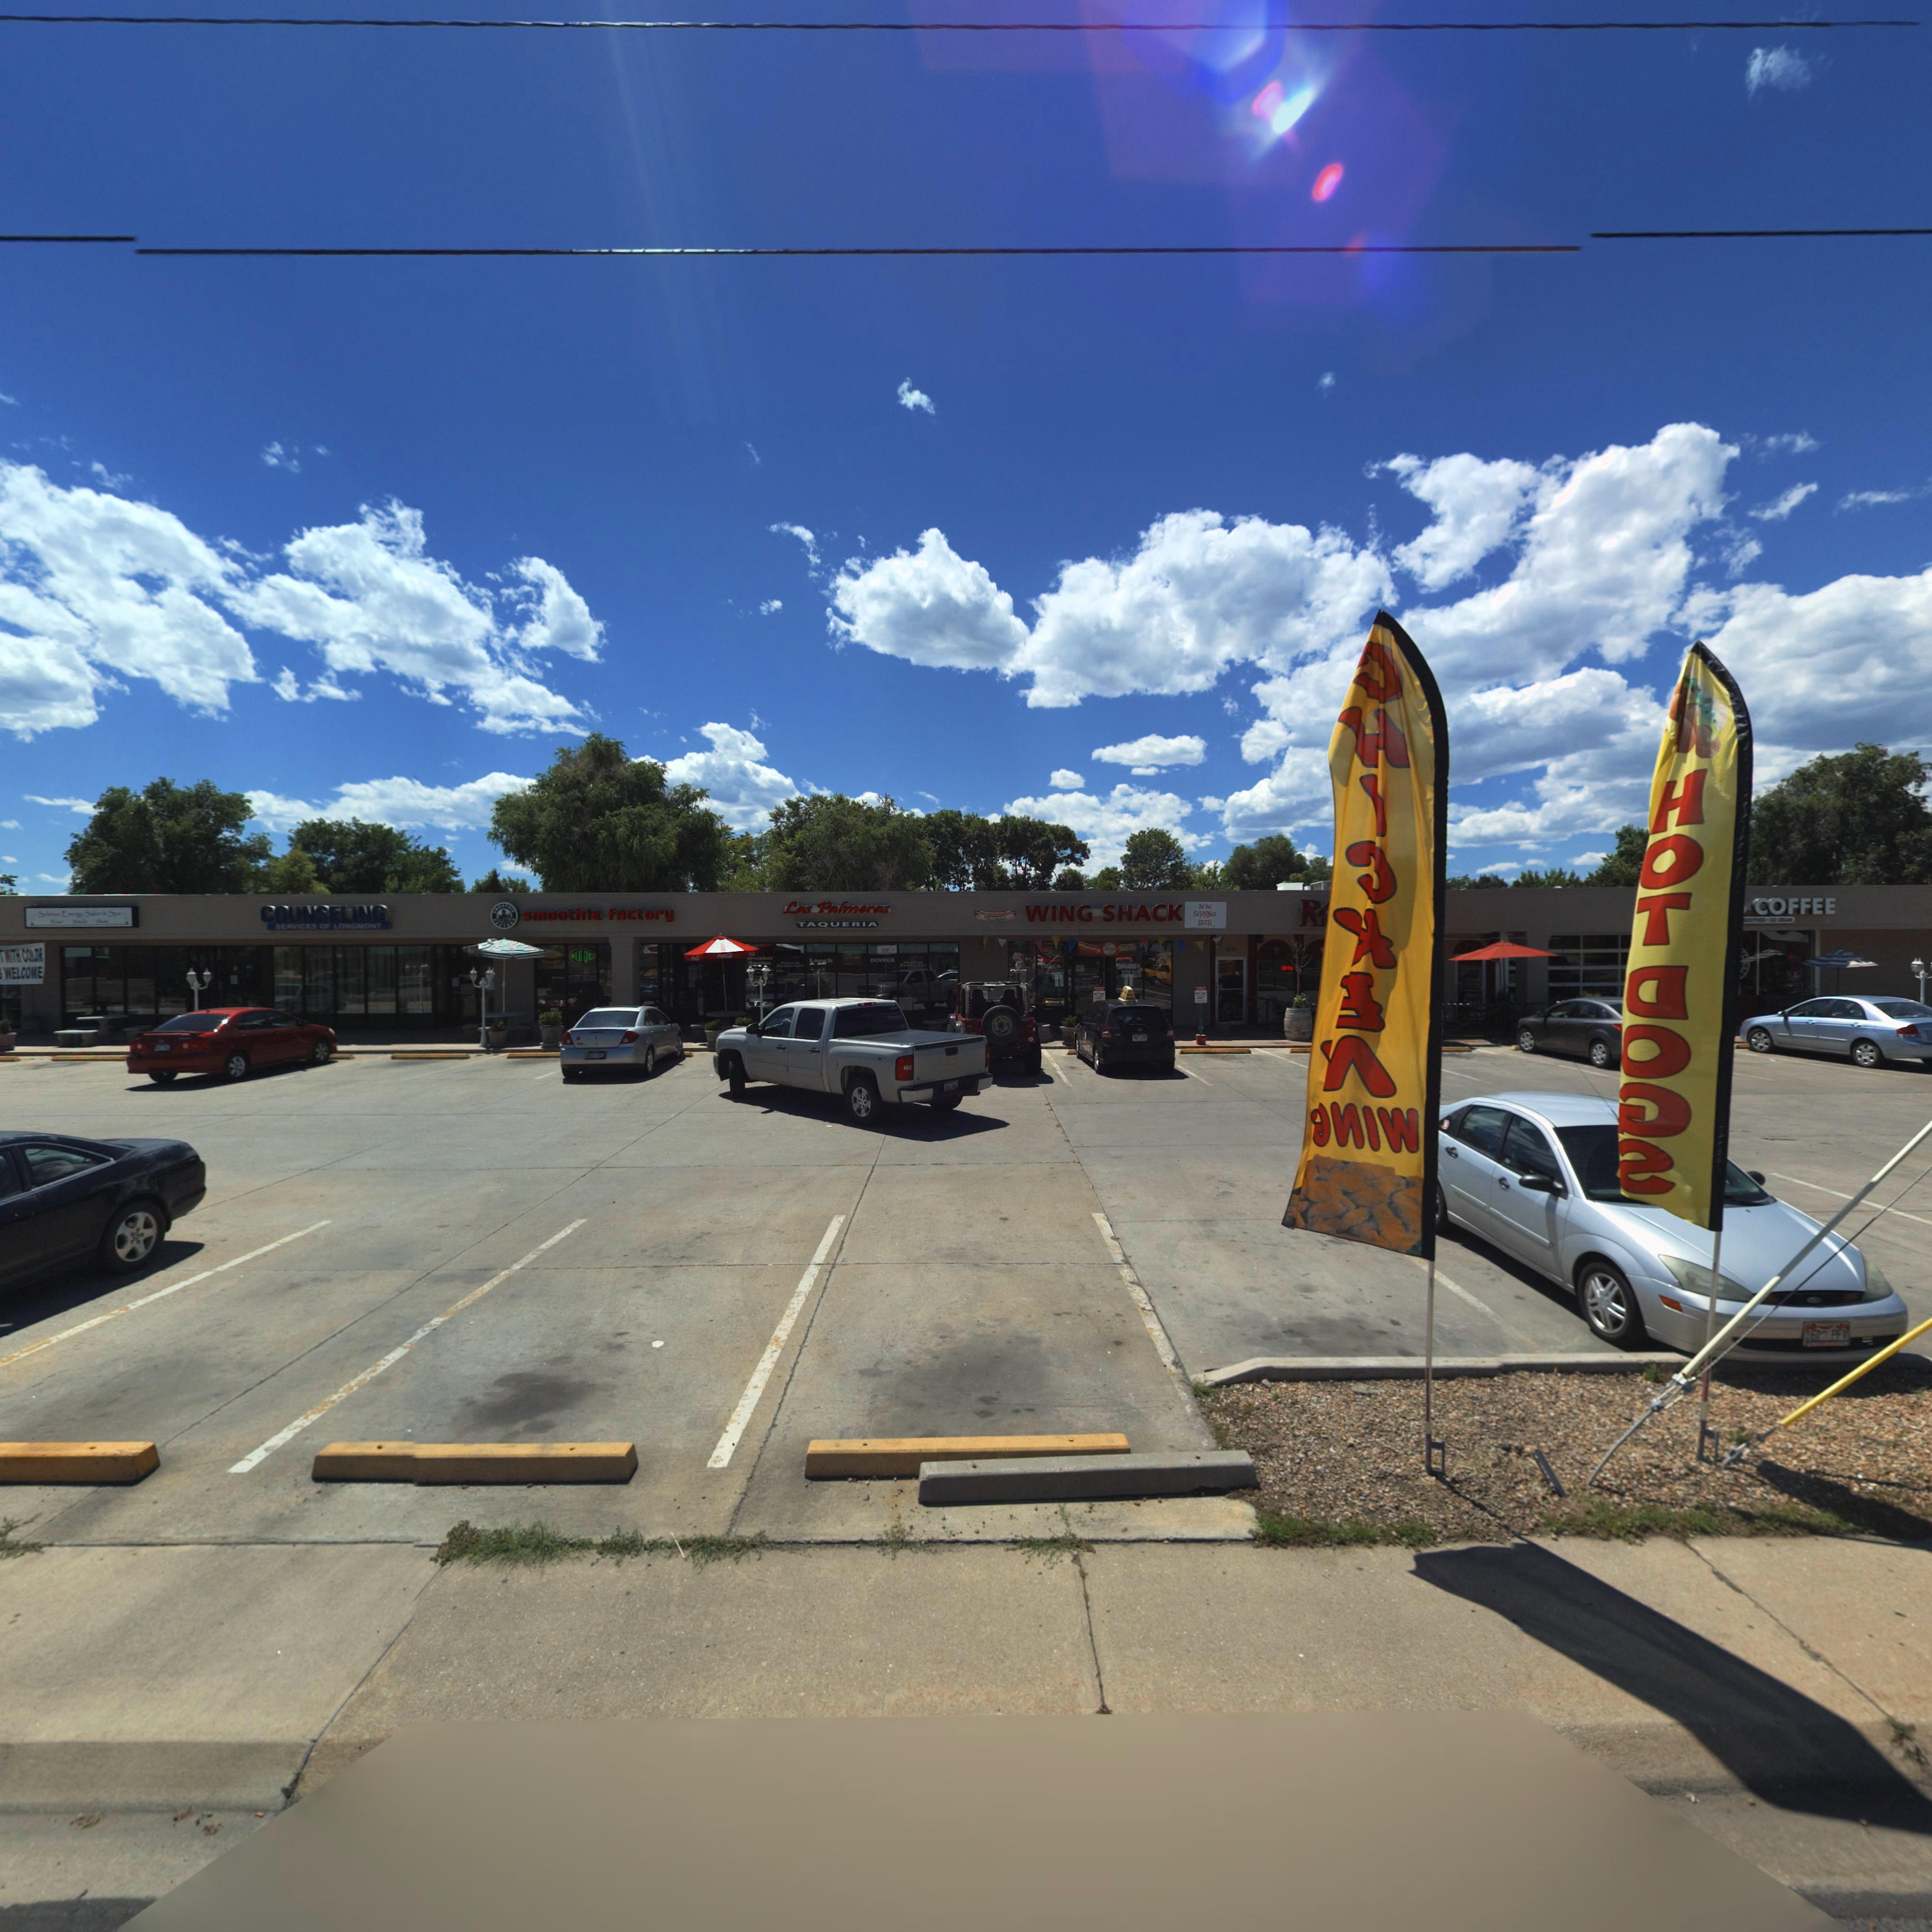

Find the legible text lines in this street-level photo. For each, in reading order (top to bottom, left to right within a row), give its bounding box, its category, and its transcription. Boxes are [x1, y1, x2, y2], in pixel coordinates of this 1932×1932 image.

[37, 909, 121, 918] BusinessName: S***** E***** S*i*t *Spa
[260, 905, 386, 923] BusinessName: COUNSELING
[493, 904, 515, 913] BusinessName: **OO**I*
[522, 908, 675, 922] BusinessName: smoothiE fActory
[782, 900, 890, 914] BusinessName: Las Palmeras
[1024, 904, 1183, 921] BusinessName: WING SHACK
[1298, 898, 1330, 927] BusinessName: R*
[1753, 897, 1835, 915] BusinessName: COFFEE
[276, 923, 381, 929] BusinessName: SERVICES OF LONGMONT
[493, 918, 515, 927] BusinessName: **C*O*Y
[798, 922, 877, 927] BusinessName: TAQUERIA
[1226, 946, 1236, 952] StreetNumber: 1*3*